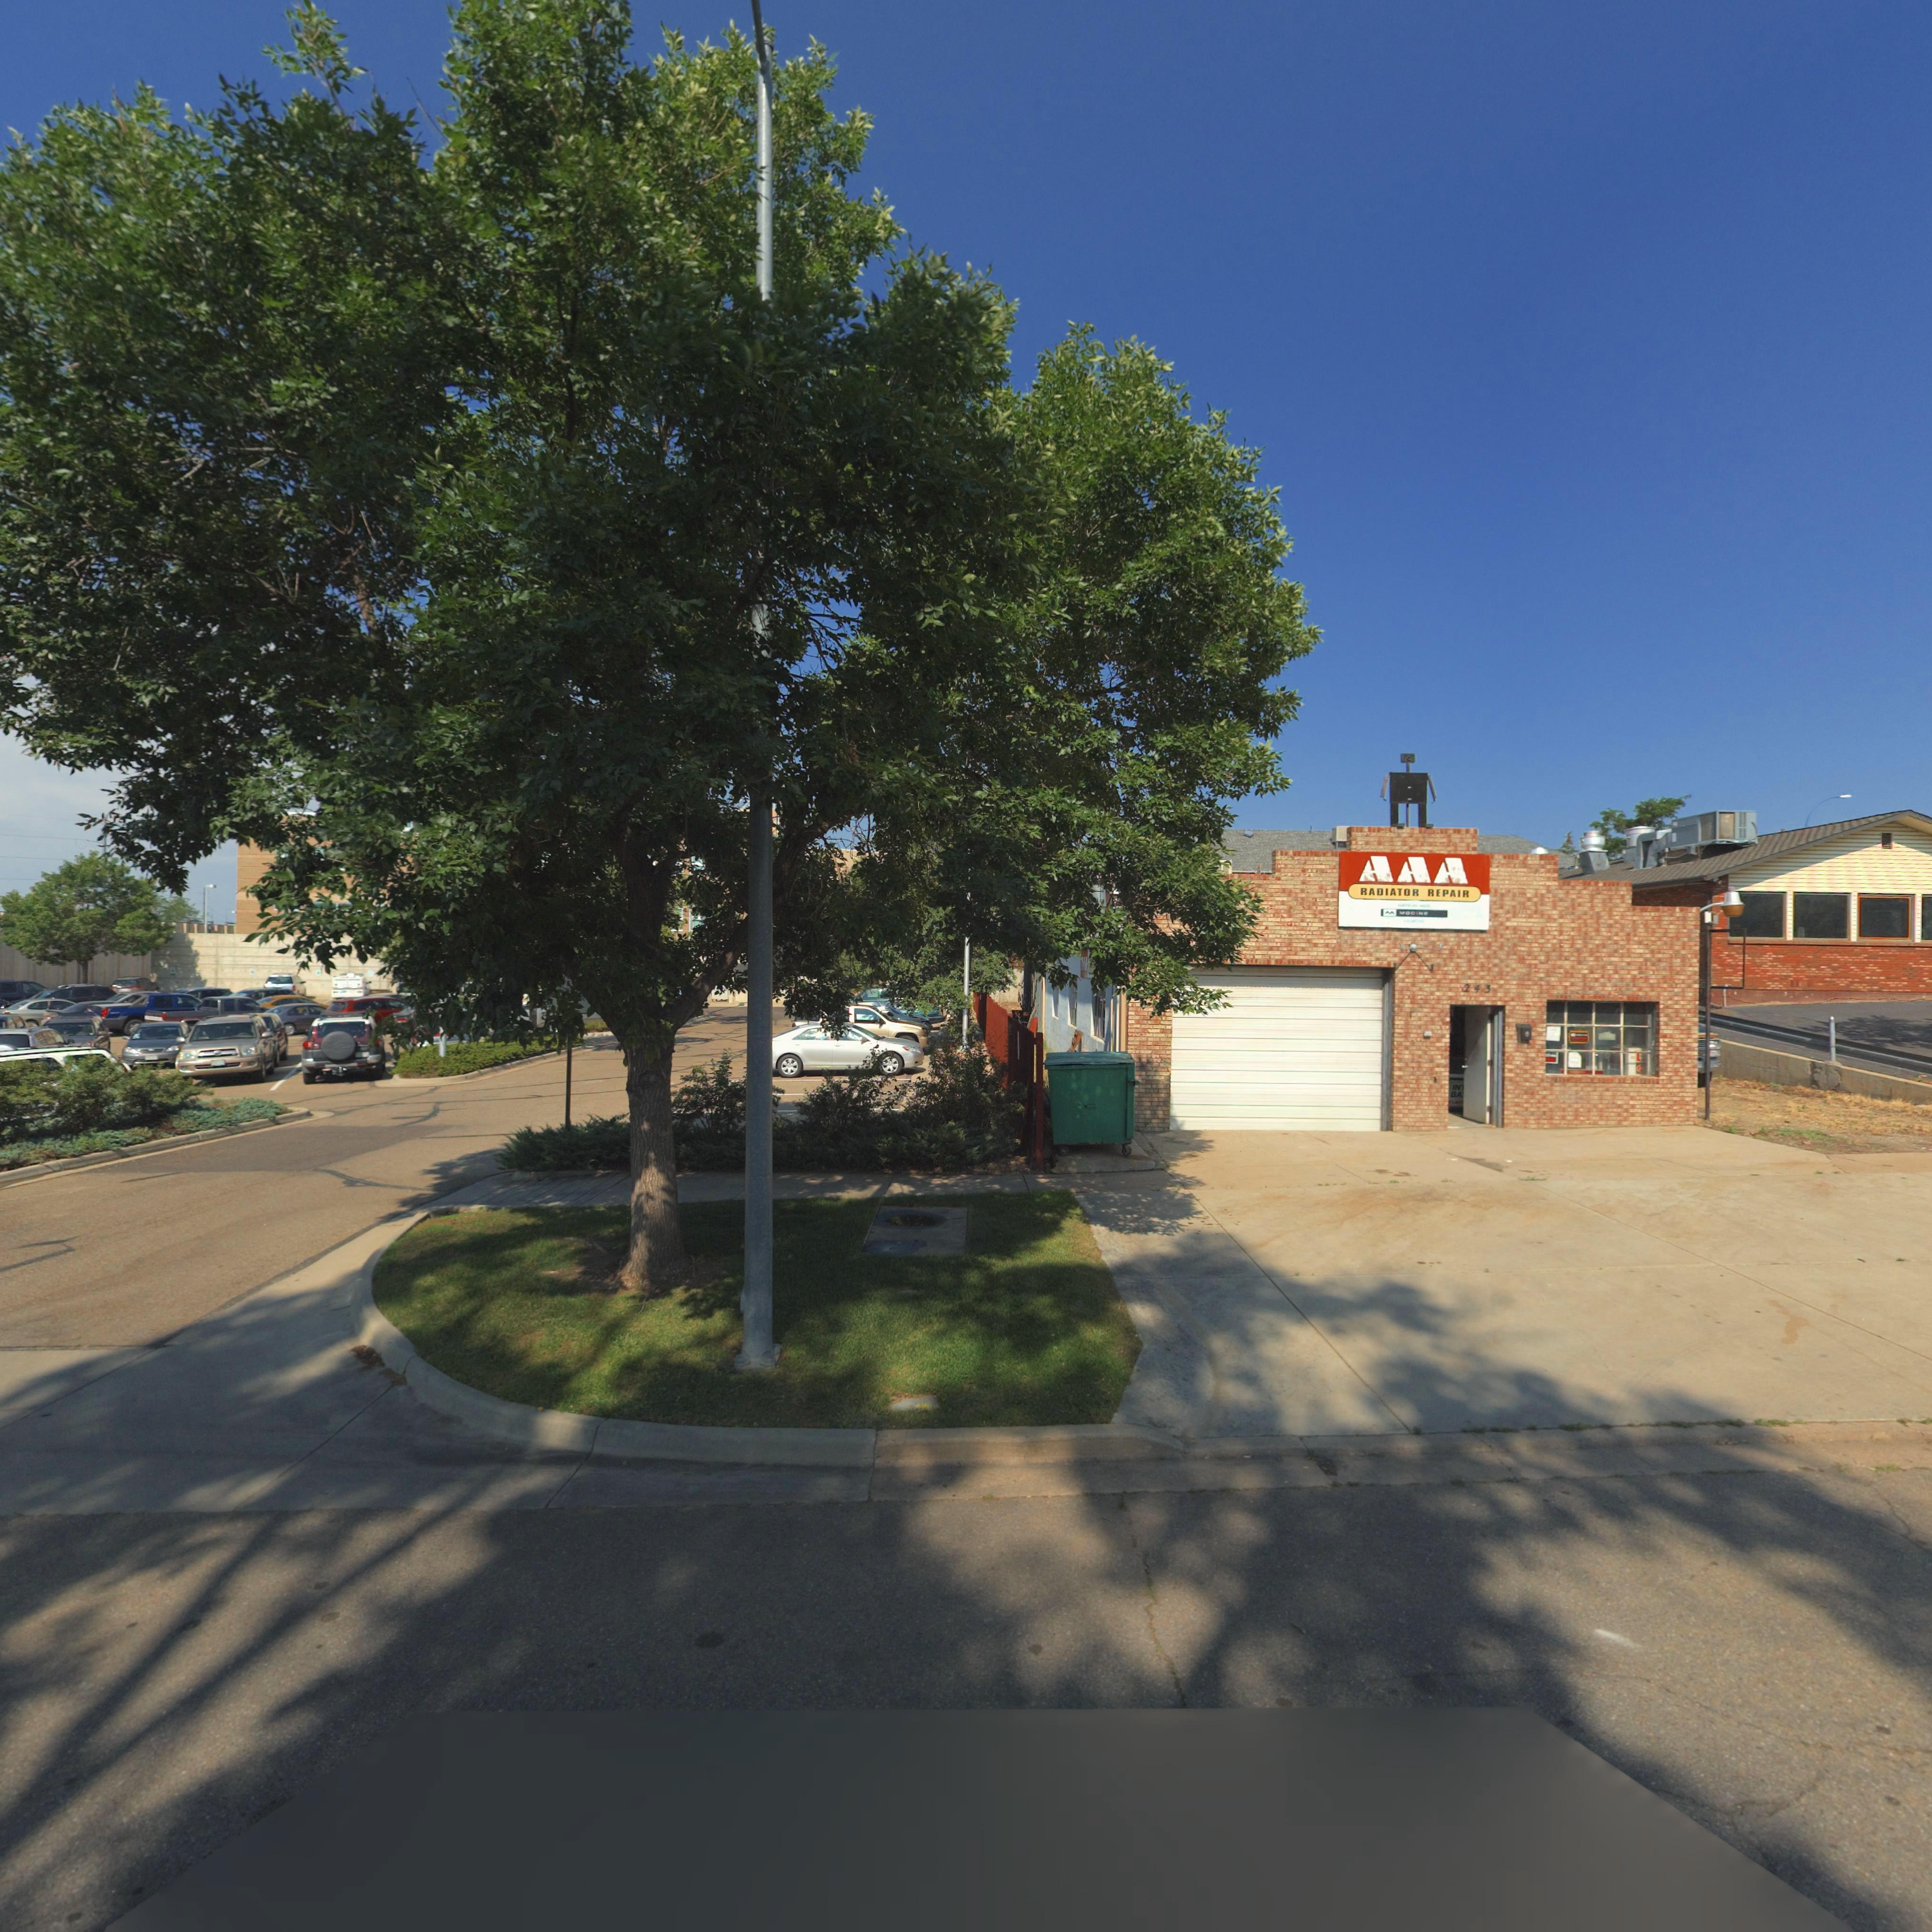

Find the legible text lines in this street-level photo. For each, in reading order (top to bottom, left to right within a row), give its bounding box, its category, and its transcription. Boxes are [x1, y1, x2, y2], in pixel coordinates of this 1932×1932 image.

[1358, 855, 1468, 884] BusinessName: AAA
[1360, 887, 1469, 898] BusinessName: RADIATOR REPAIR
[1463, 983, 1491, 993] StreetNumber: 243